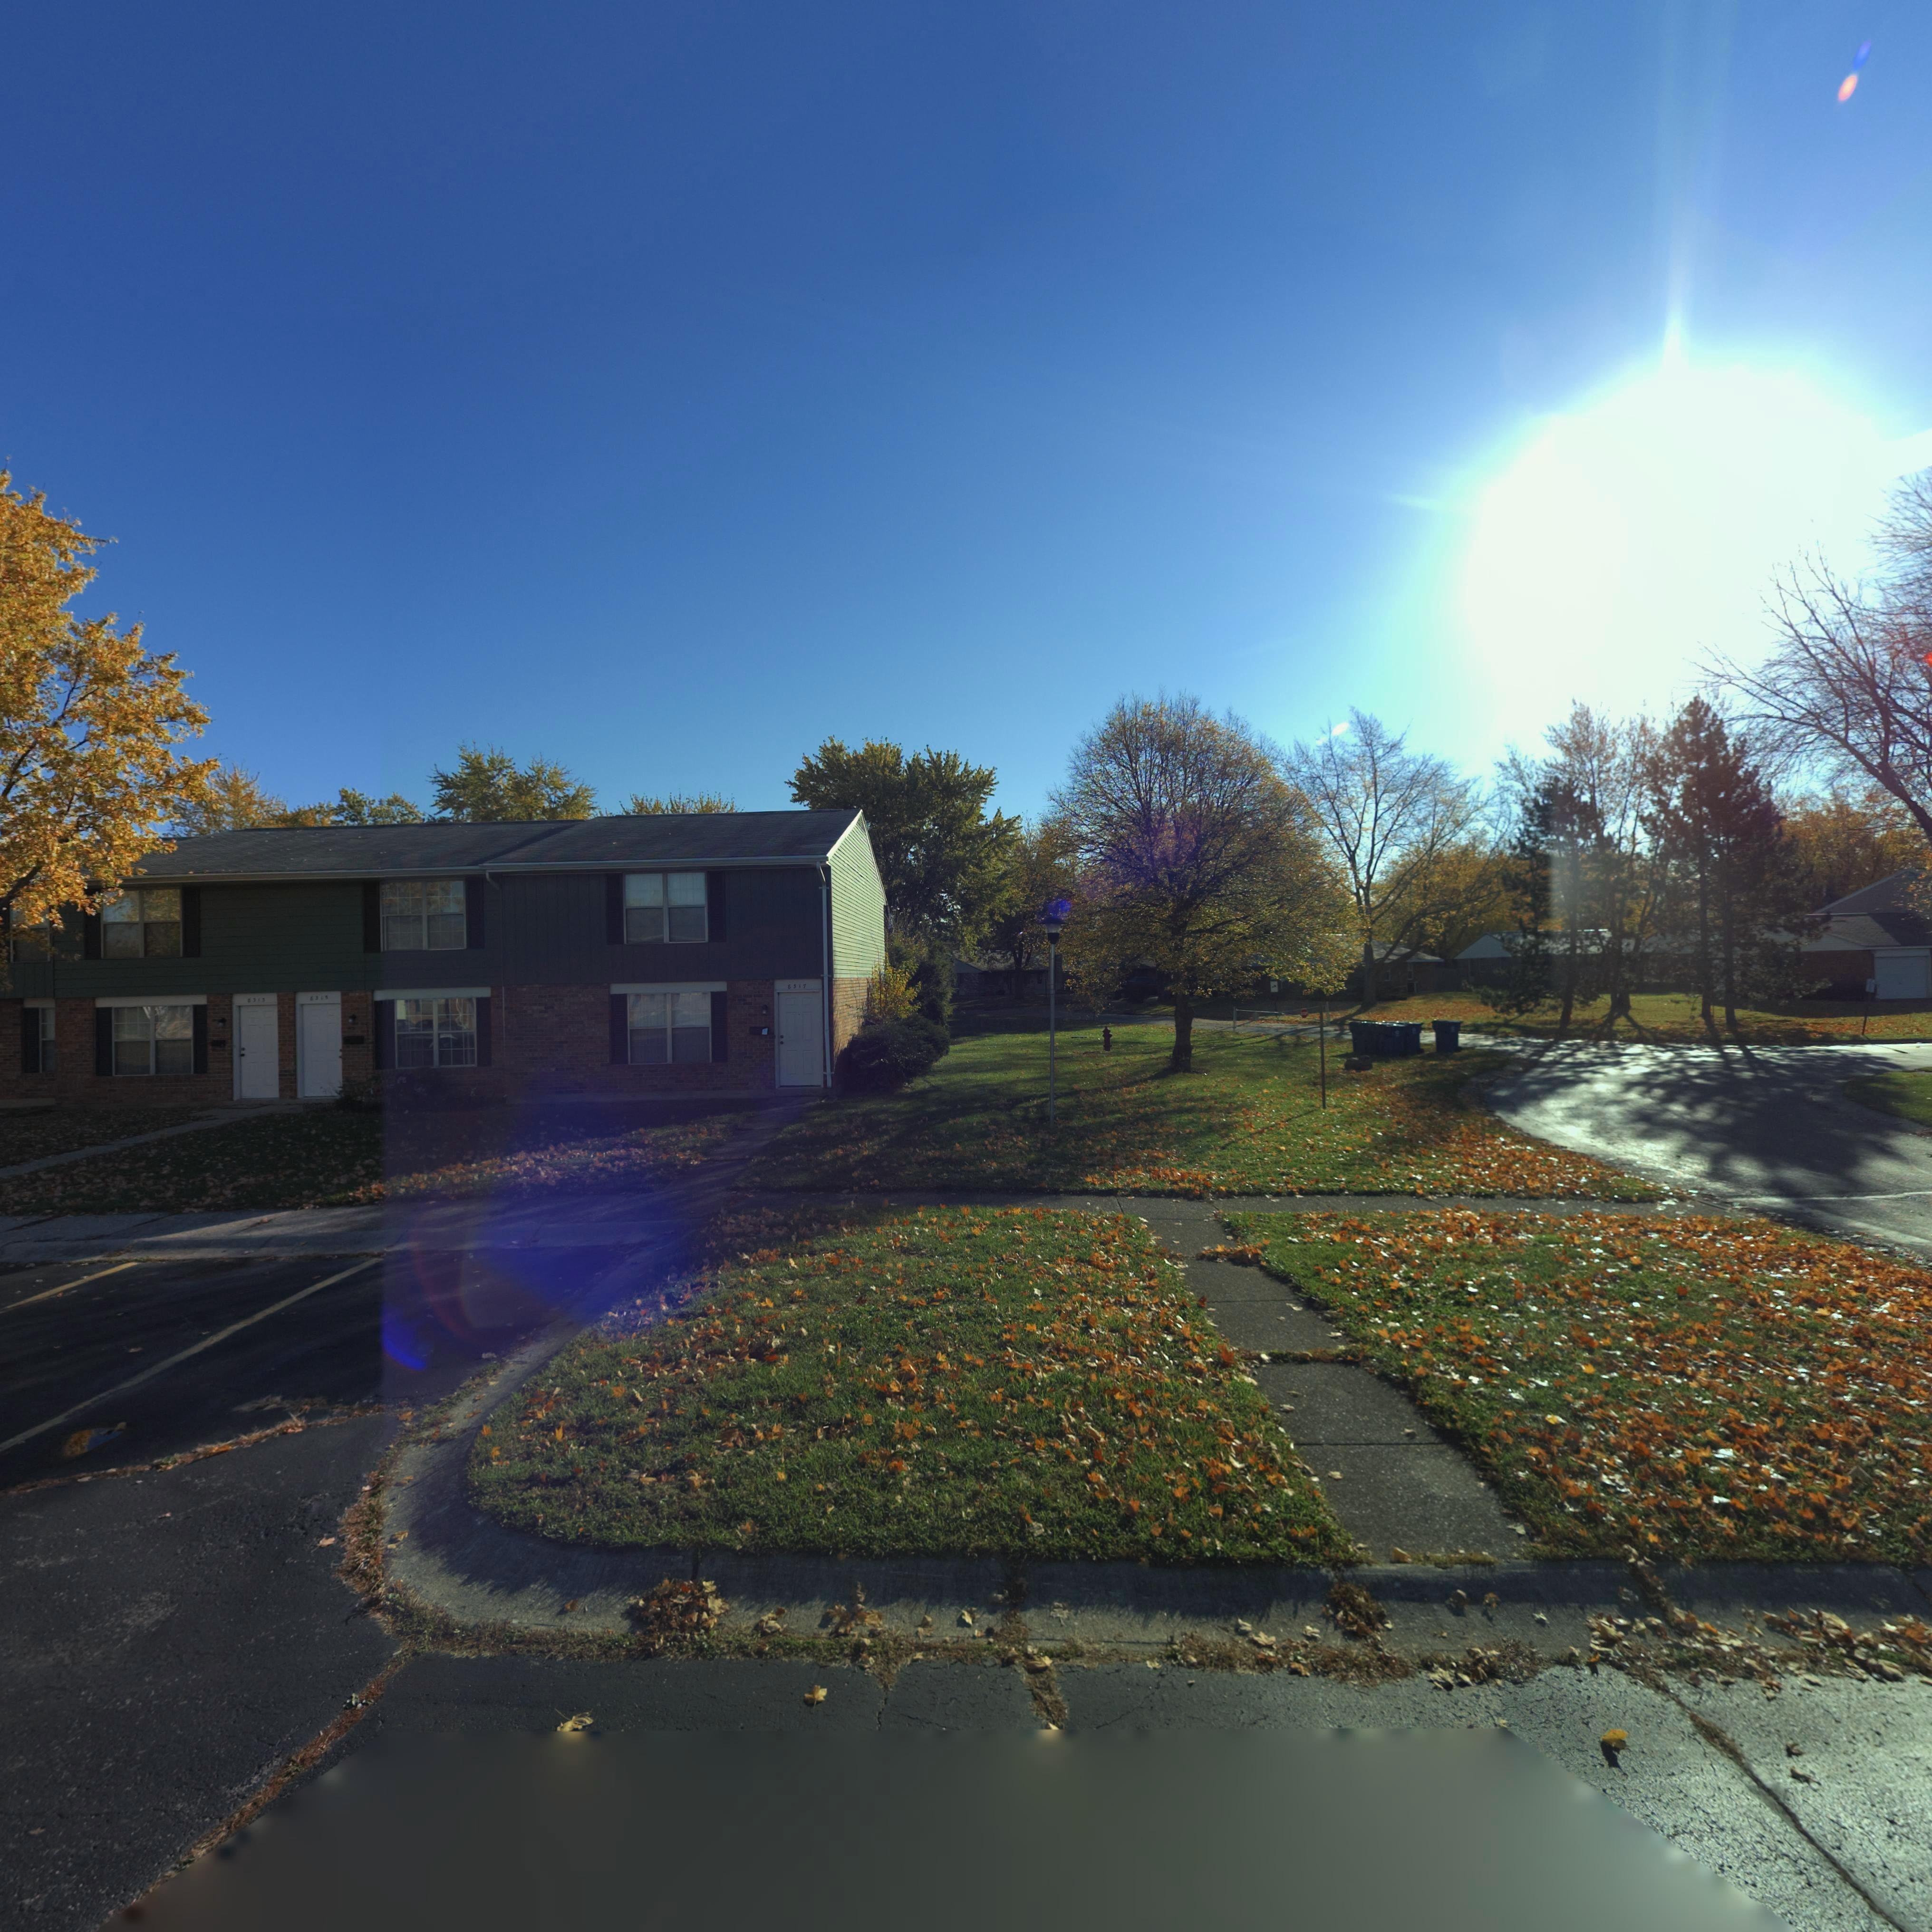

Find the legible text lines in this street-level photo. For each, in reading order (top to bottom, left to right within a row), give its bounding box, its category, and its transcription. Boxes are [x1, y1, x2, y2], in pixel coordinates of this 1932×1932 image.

[787, 984, 807, 989] StreetNumber: 8317
[247, 997, 265, 1003] StreetNumber: 8313
[309, 994, 328, 1001] StreetNumber: 8315